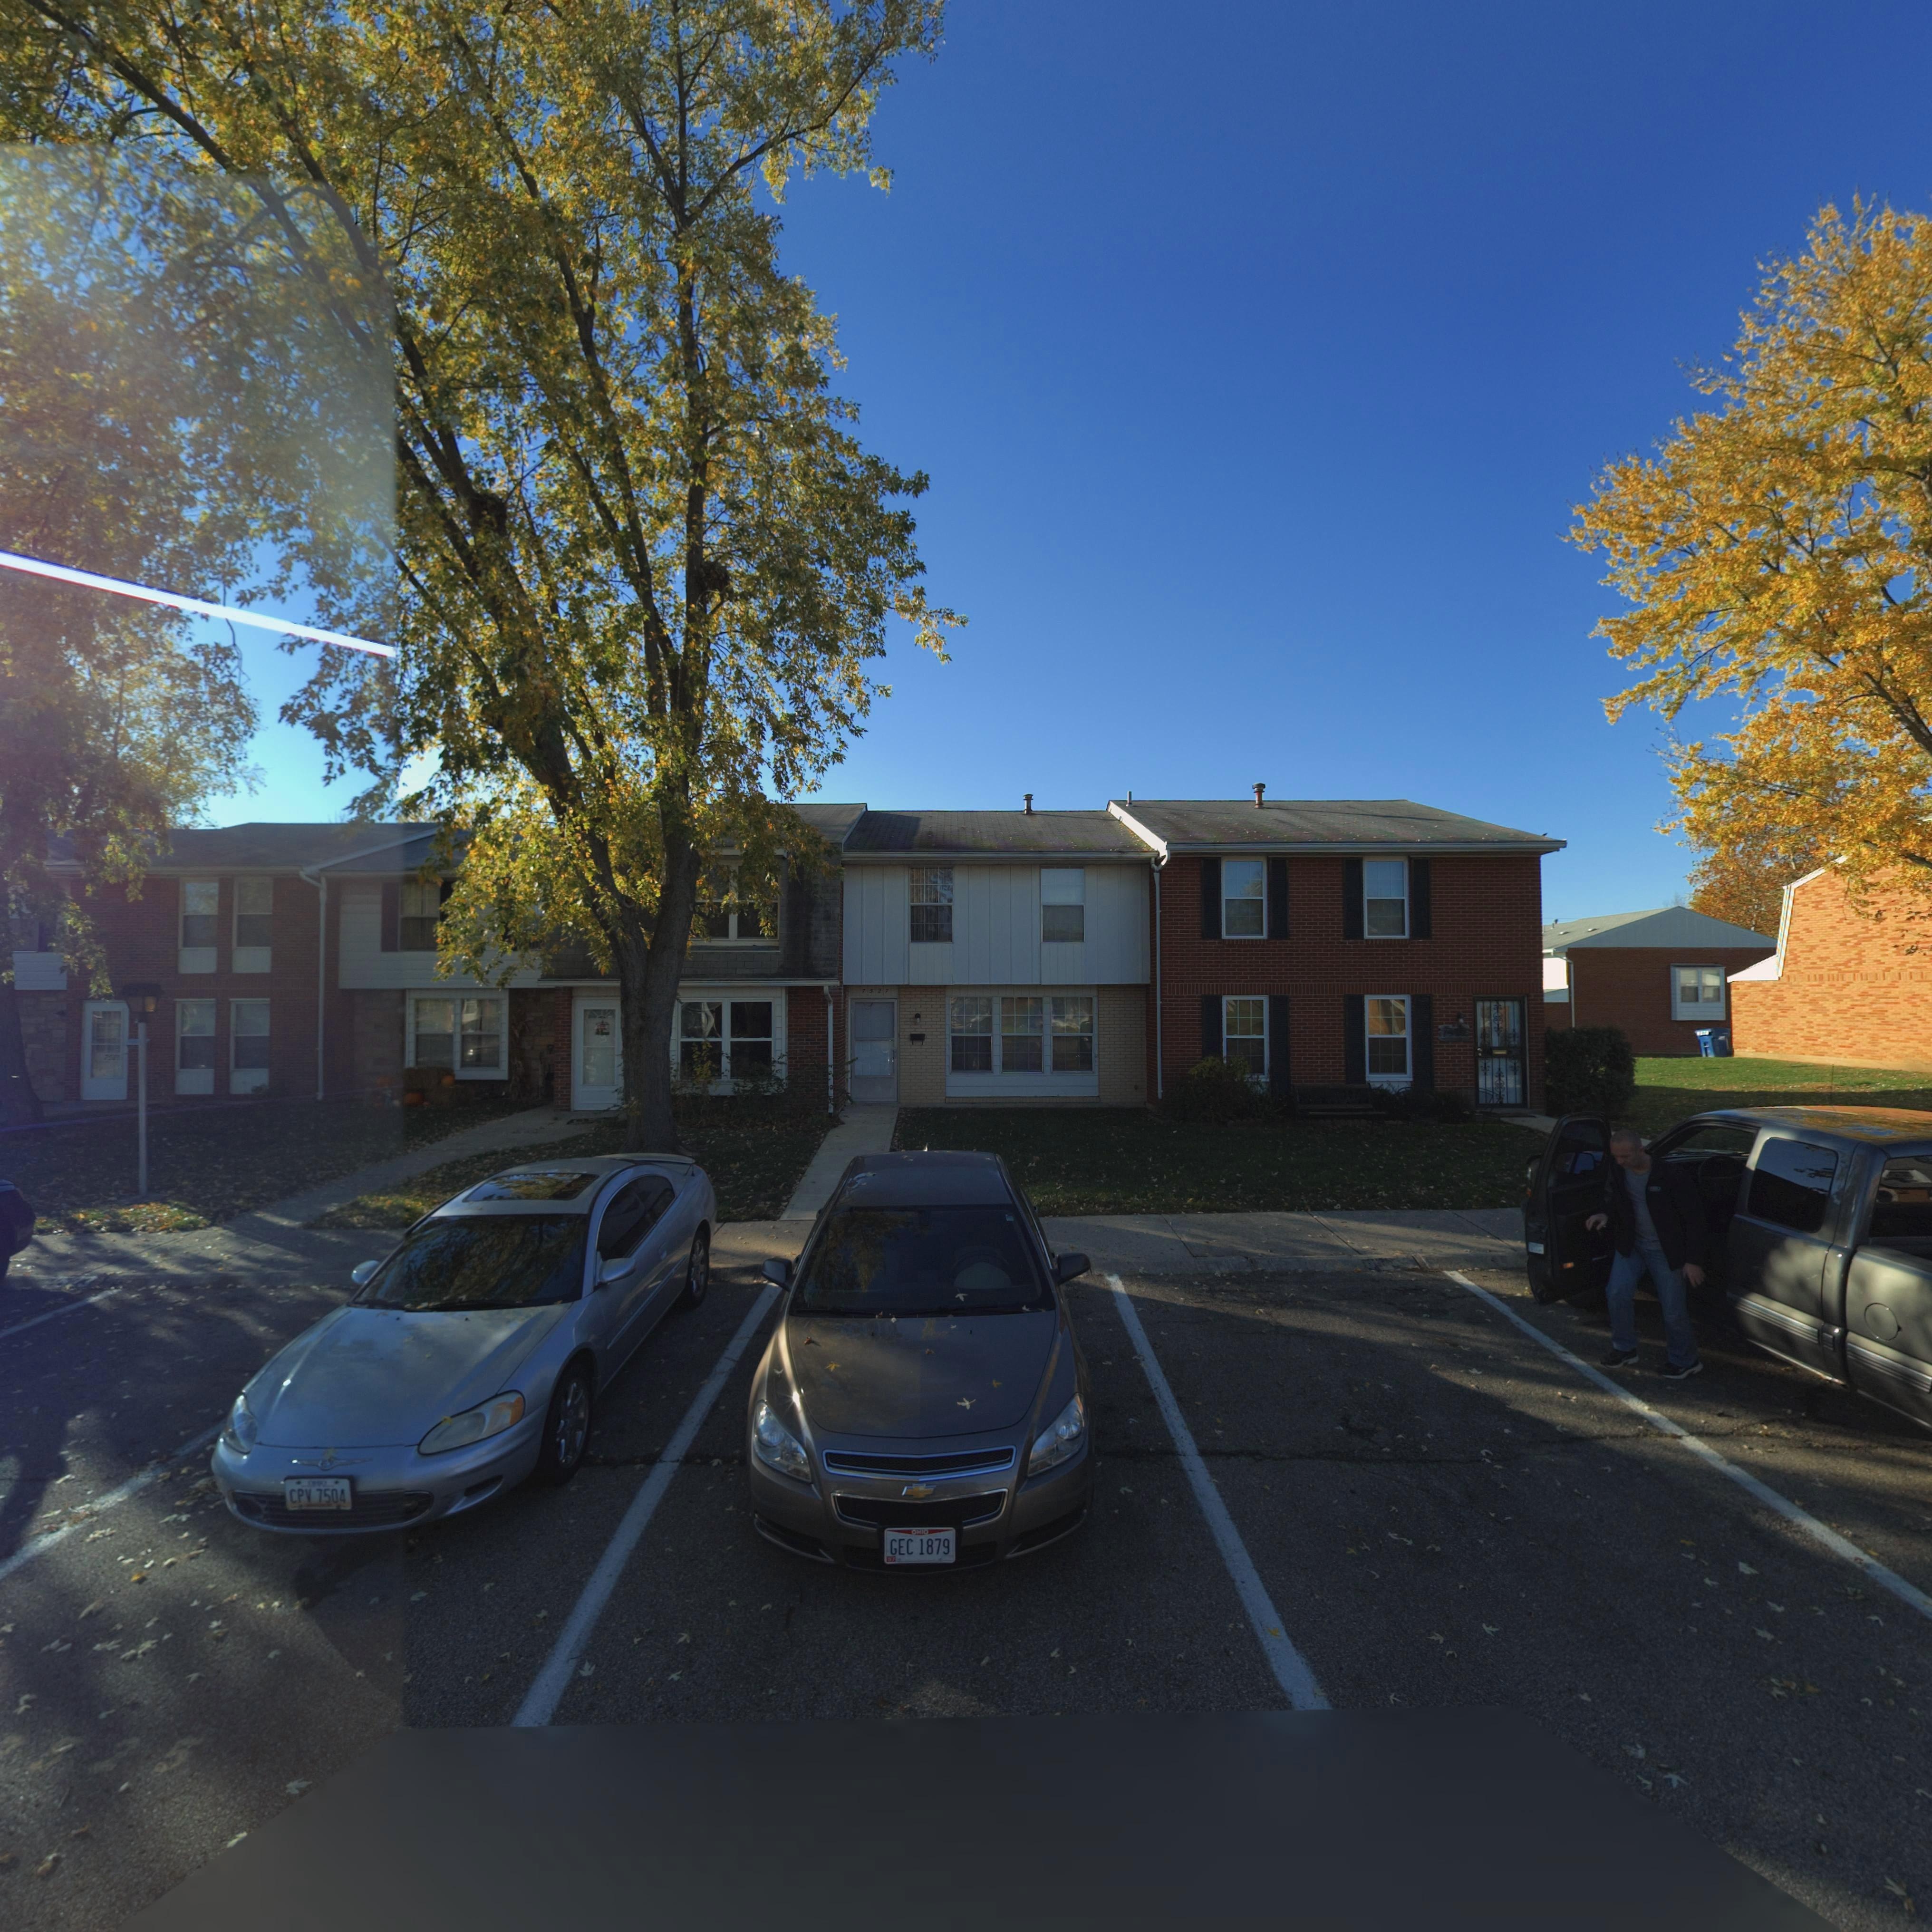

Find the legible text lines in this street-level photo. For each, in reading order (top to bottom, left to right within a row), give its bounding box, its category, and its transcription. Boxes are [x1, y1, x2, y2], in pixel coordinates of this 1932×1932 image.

[860, 988, 890, 994] StreetNumber: 7527
[1440, 1029, 1454, 1037] StreetNumber: 75
[103, 1053, 115, 1061] StreetNumber: 75